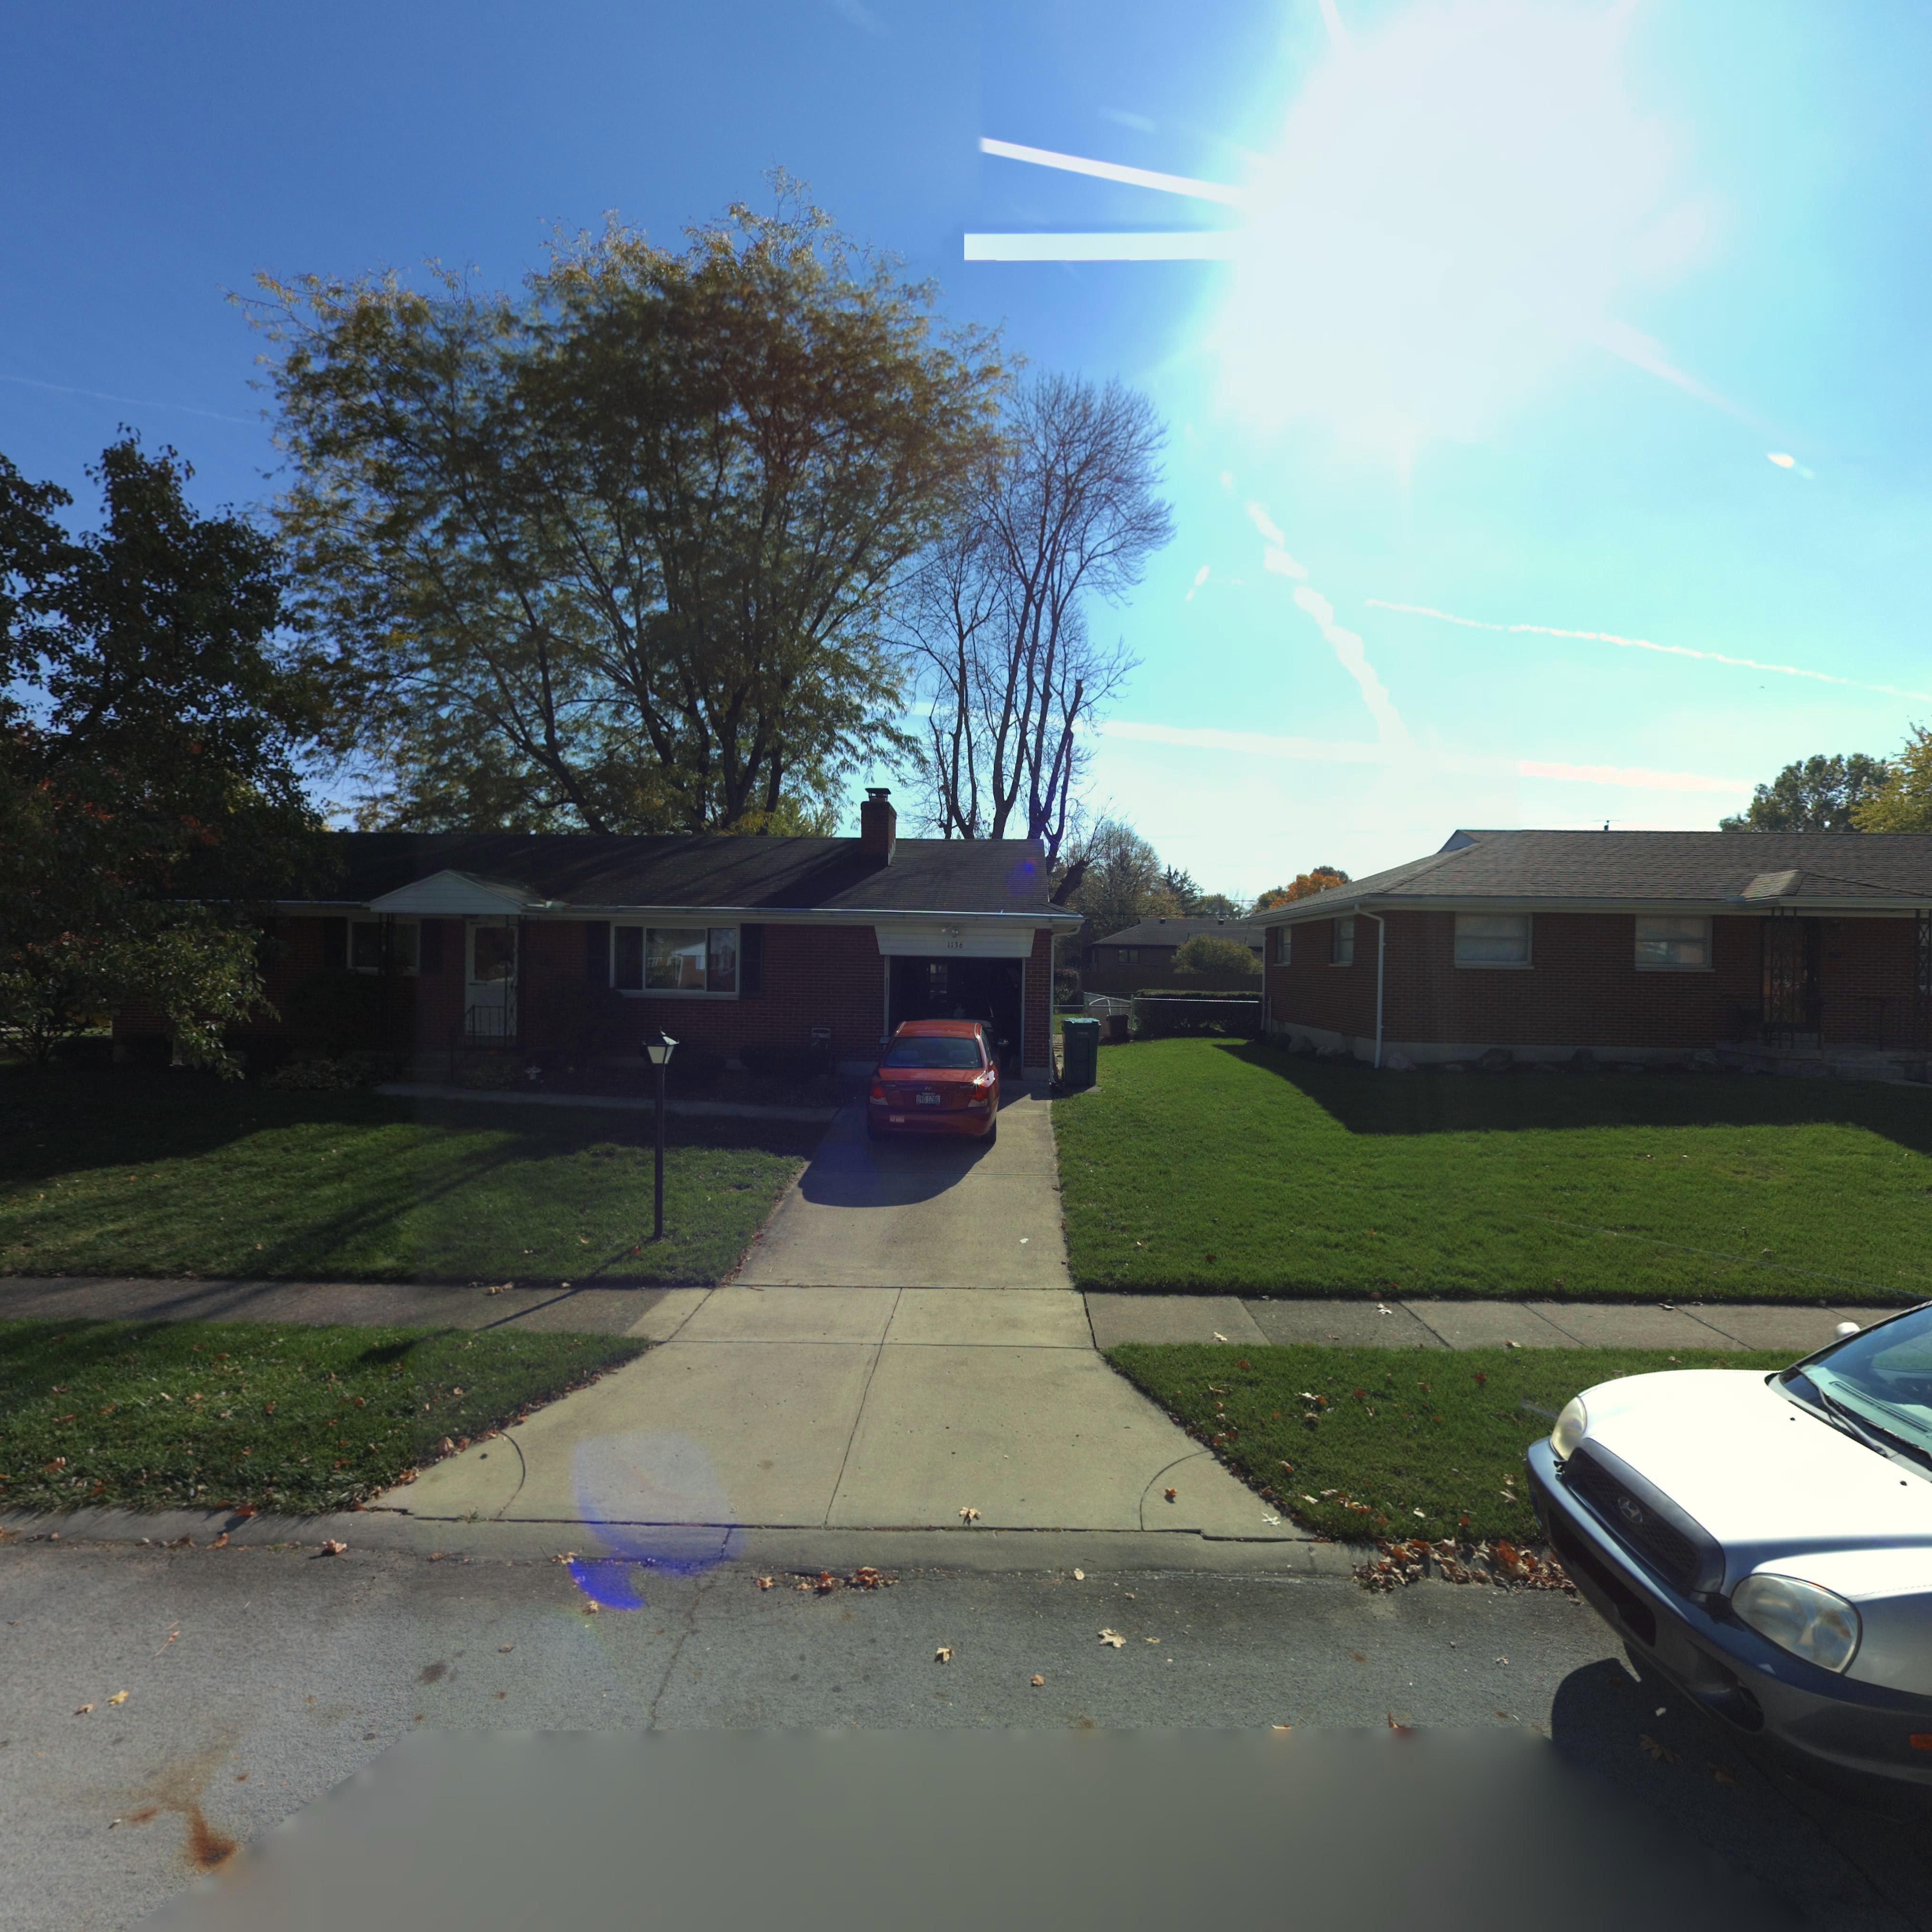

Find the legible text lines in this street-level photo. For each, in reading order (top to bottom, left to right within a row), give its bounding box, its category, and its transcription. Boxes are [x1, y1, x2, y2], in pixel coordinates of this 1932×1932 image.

[947, 941, 964, 949] StreetNumber: 1136